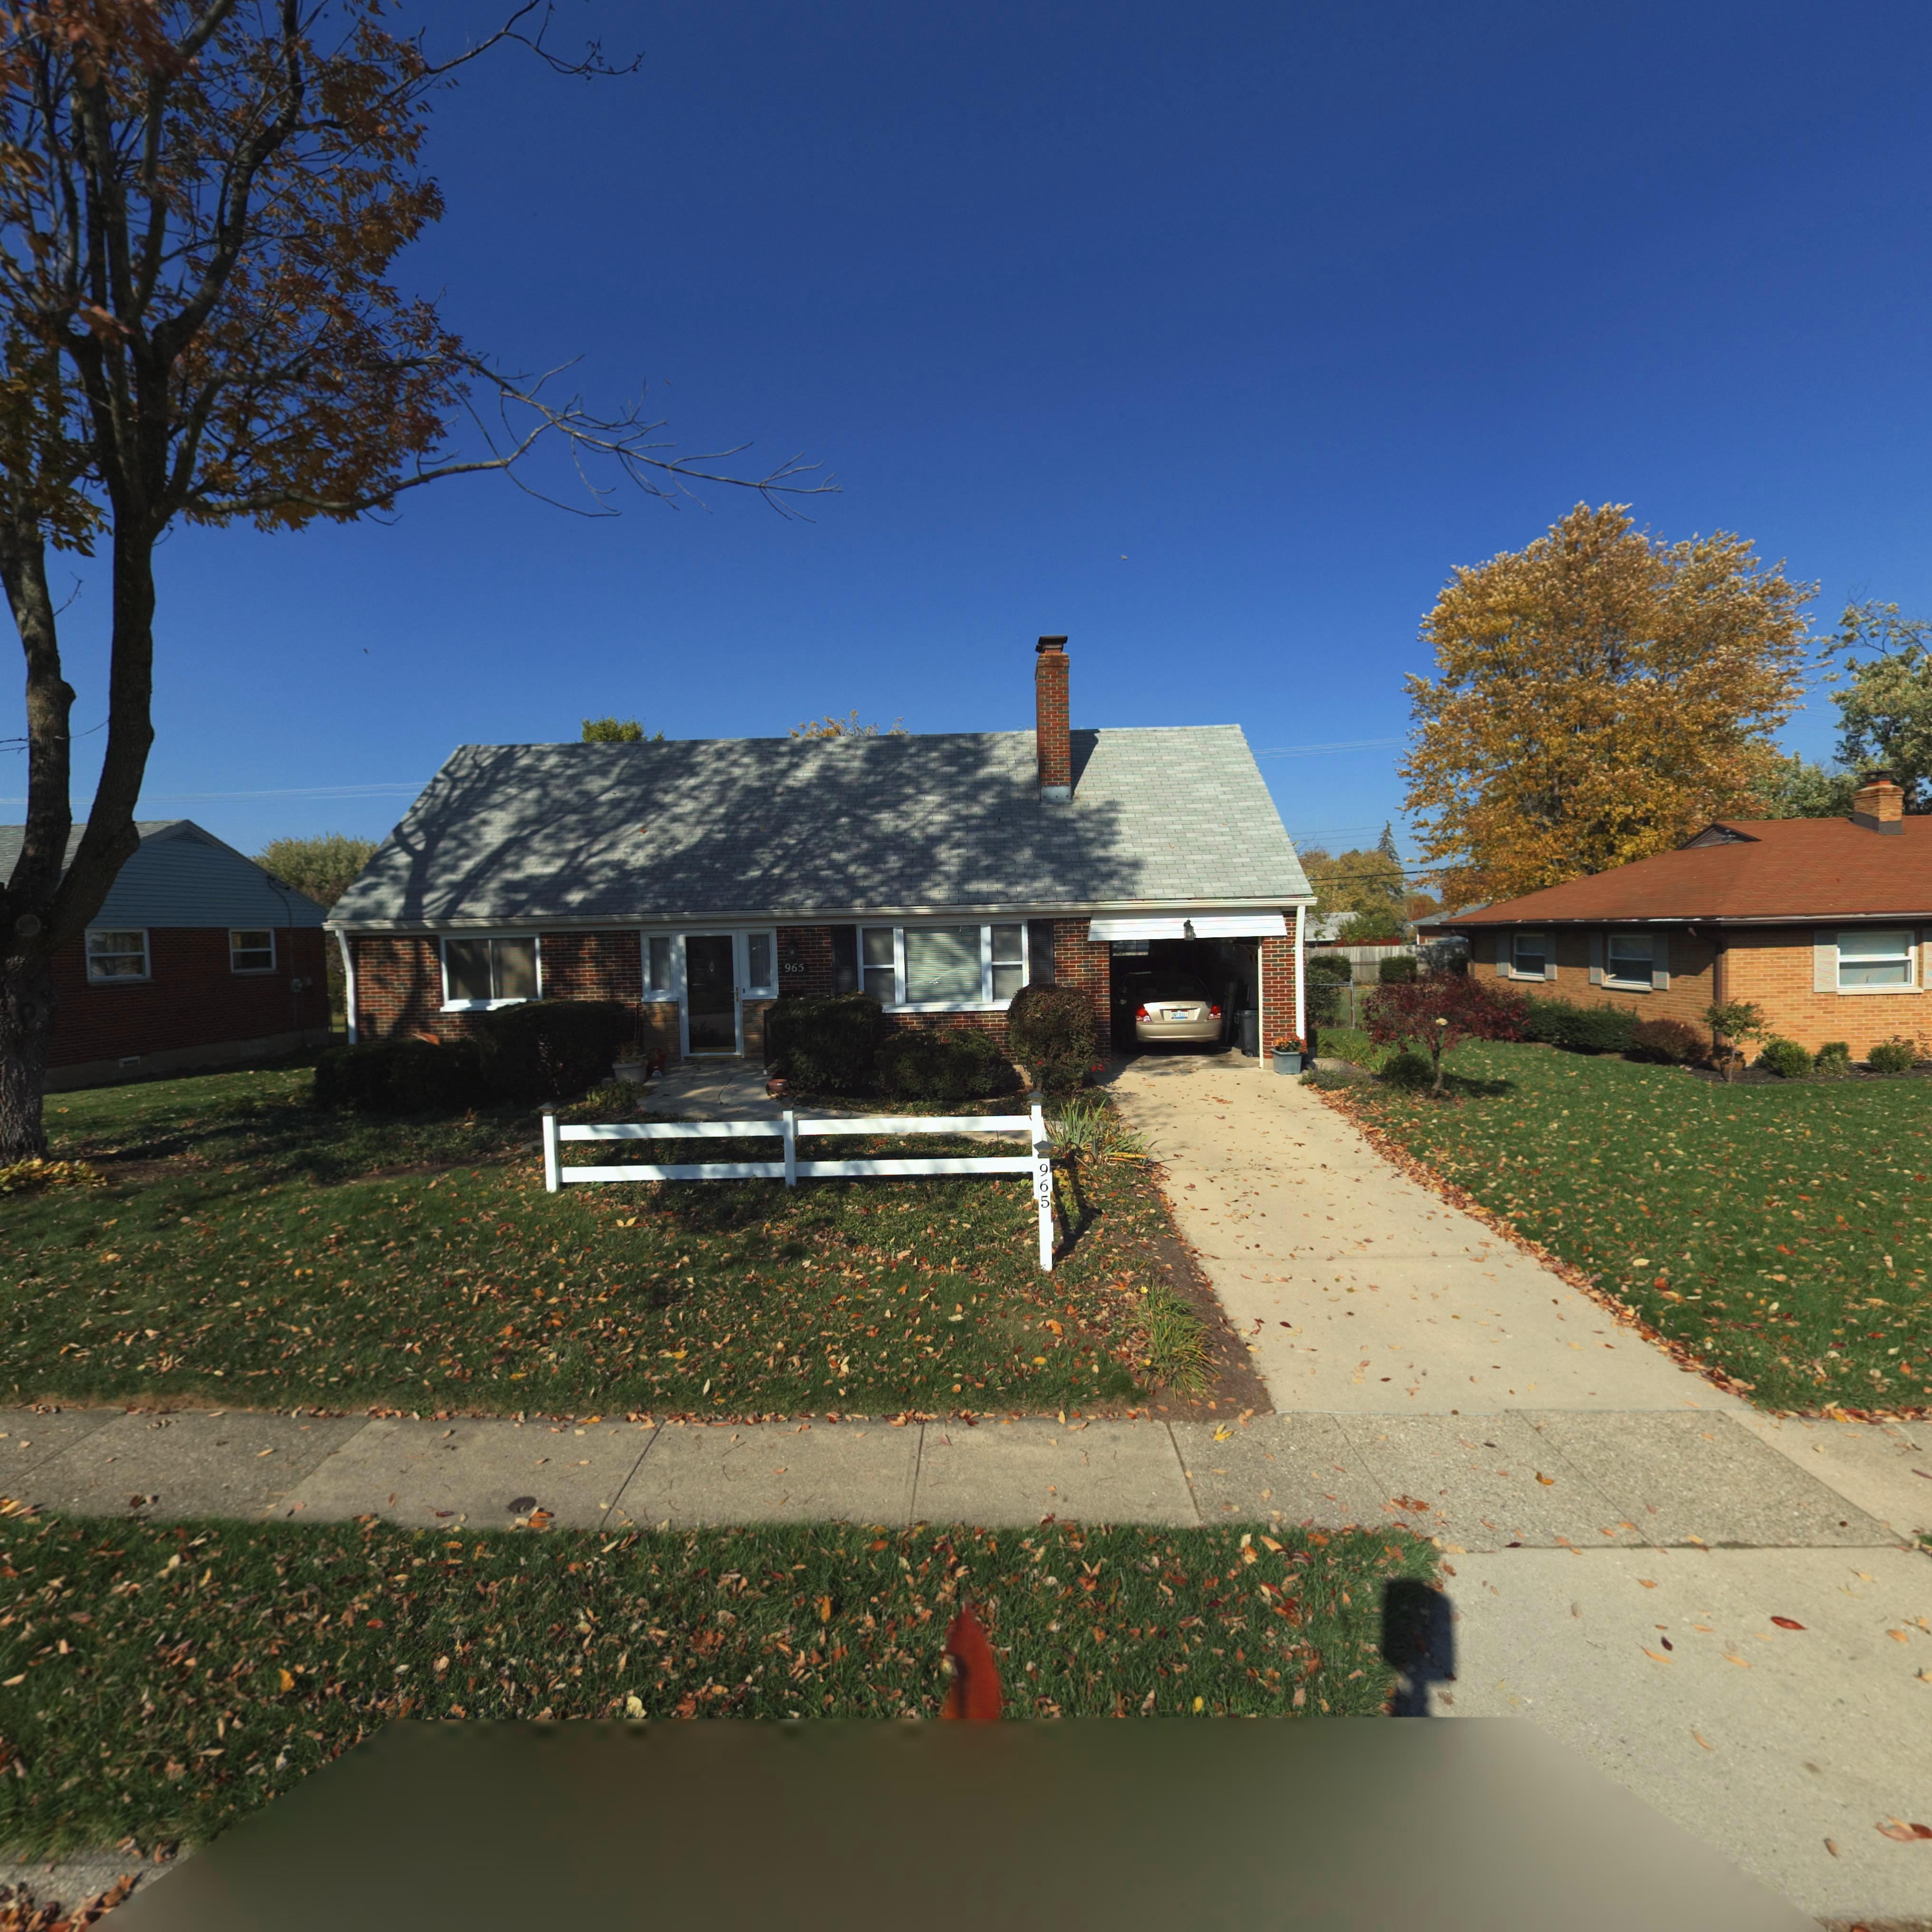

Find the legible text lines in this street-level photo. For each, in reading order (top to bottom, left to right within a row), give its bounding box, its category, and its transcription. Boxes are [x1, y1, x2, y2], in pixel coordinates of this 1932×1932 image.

[784, 963, 805, 973] StreetNumber: 965
[1179, 1012, 1188, 1017] None: 8311
[1039, 1163, 1050, 1208] StreetNumber: 965